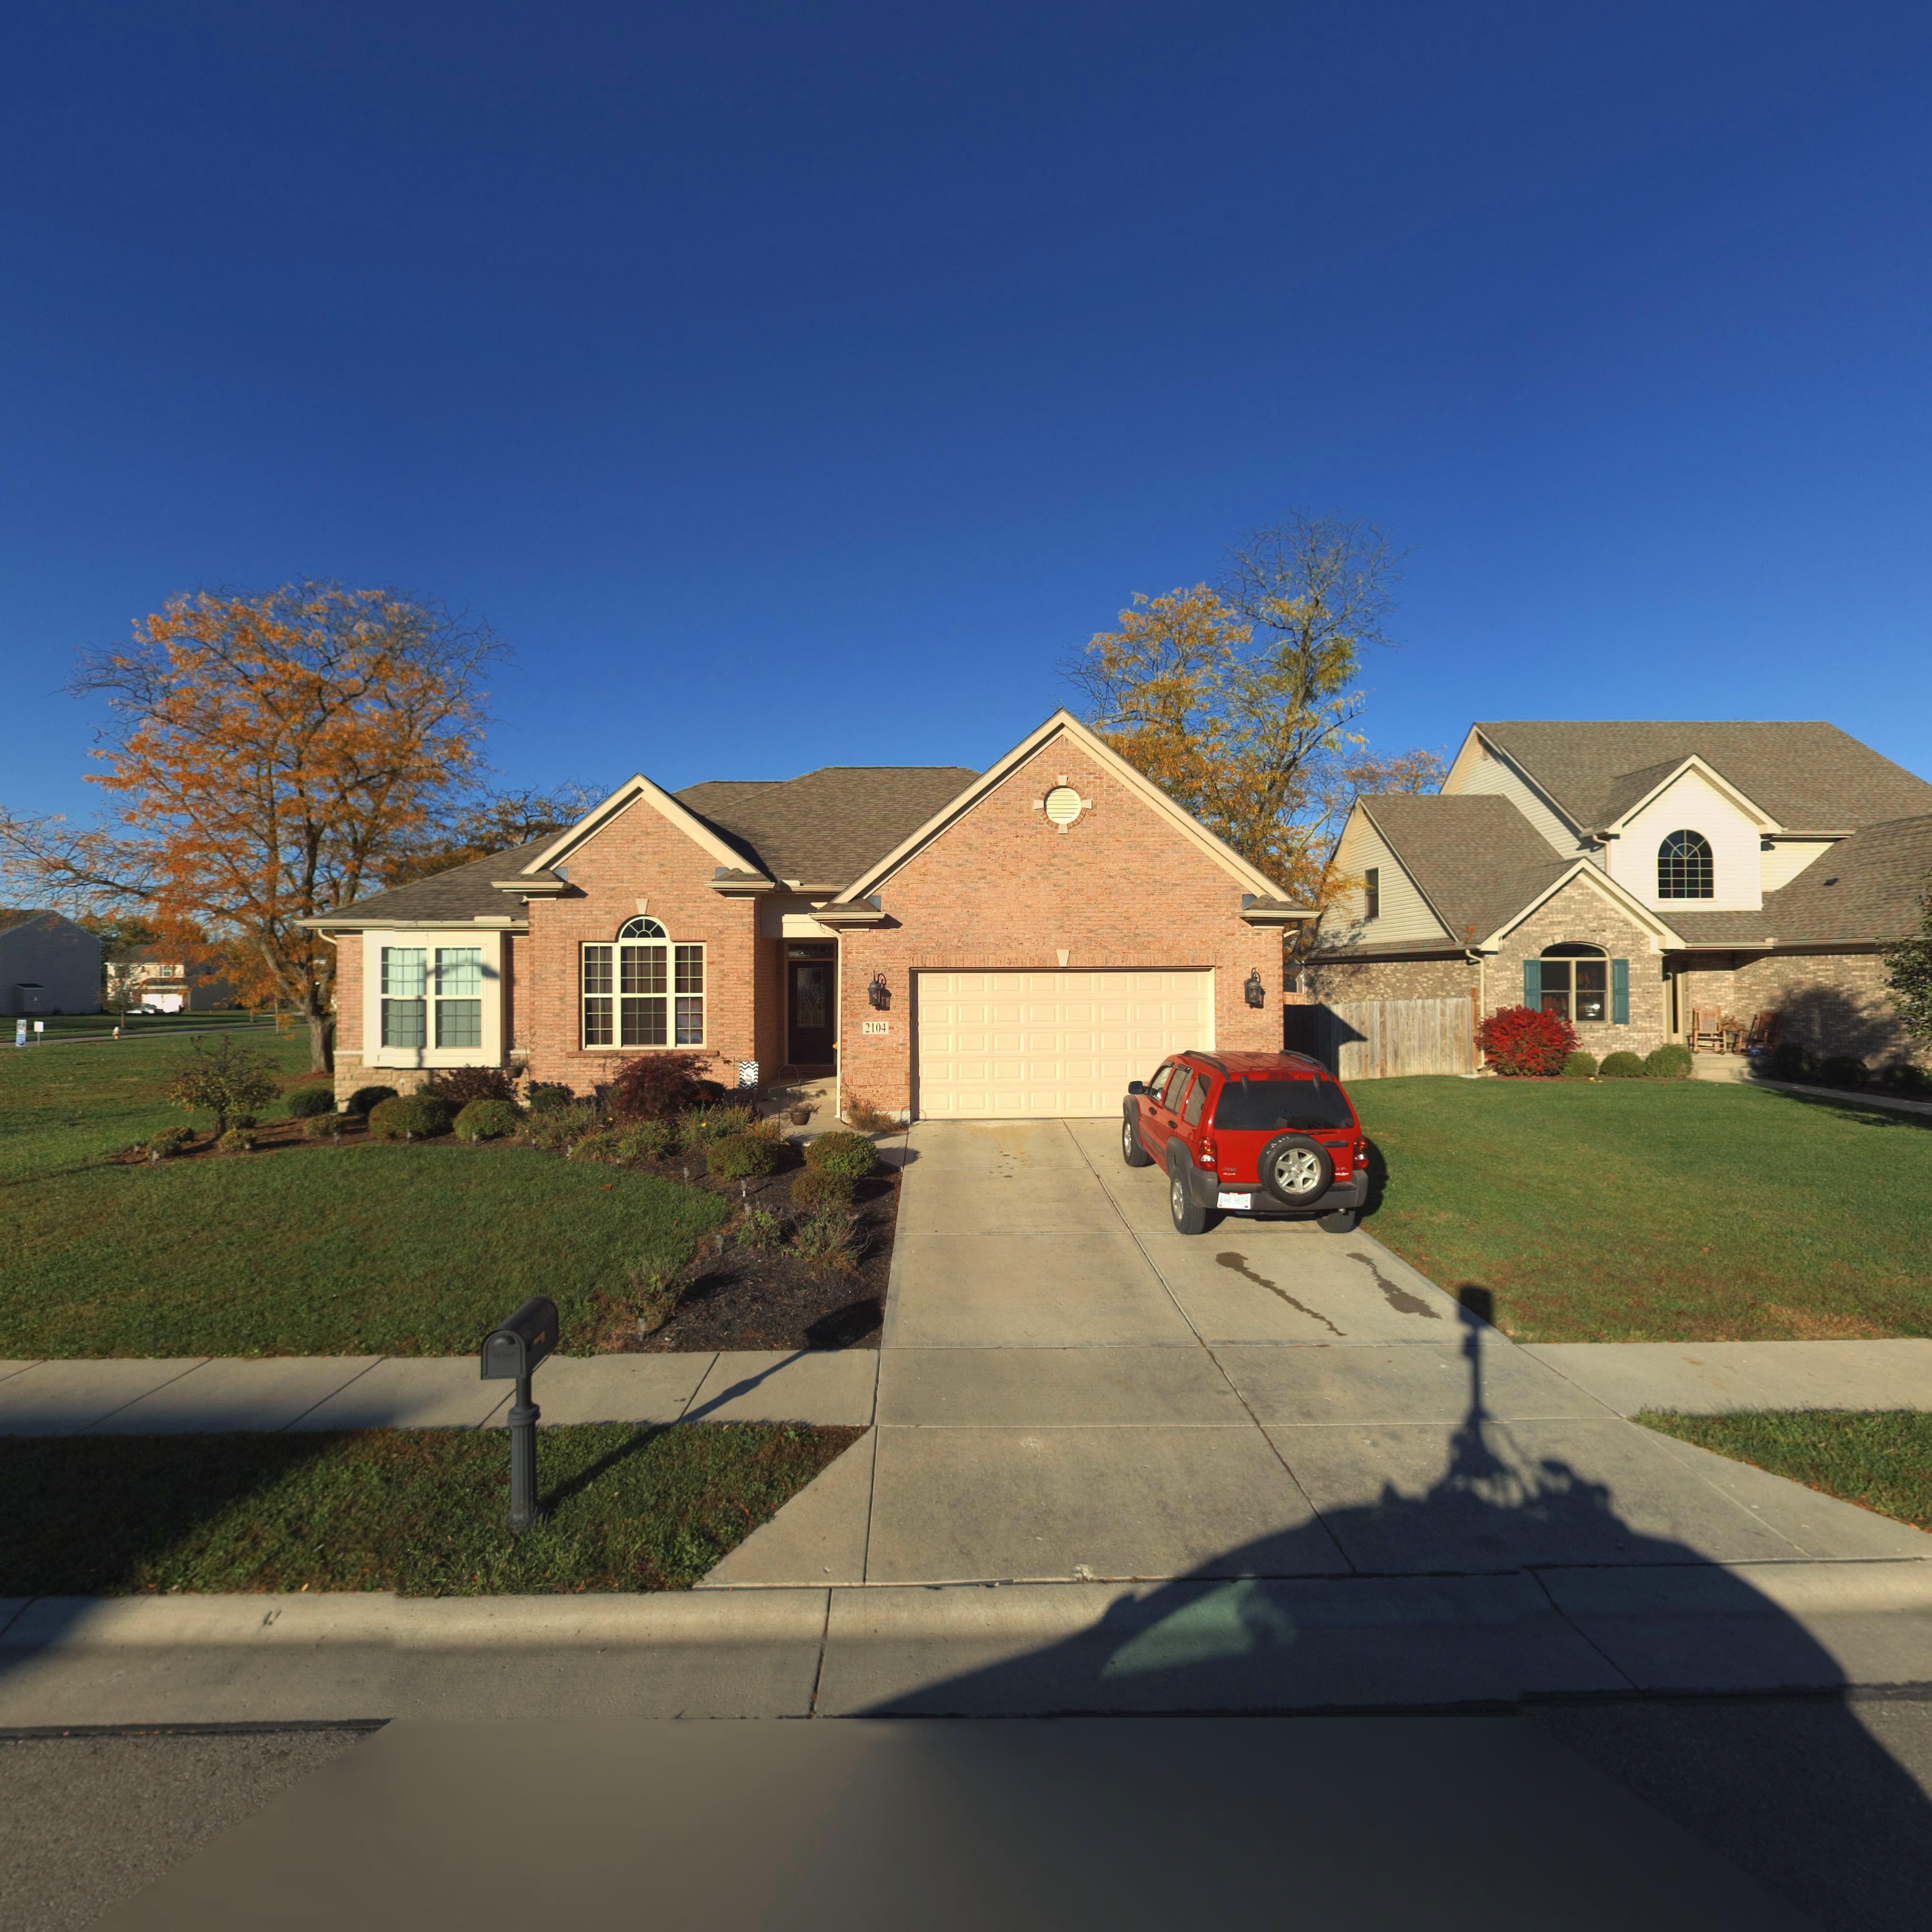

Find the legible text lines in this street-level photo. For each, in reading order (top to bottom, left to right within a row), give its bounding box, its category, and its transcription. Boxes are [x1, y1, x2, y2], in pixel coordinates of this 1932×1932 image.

[865, 1022, 887, 1034] StreetNumber: 2104